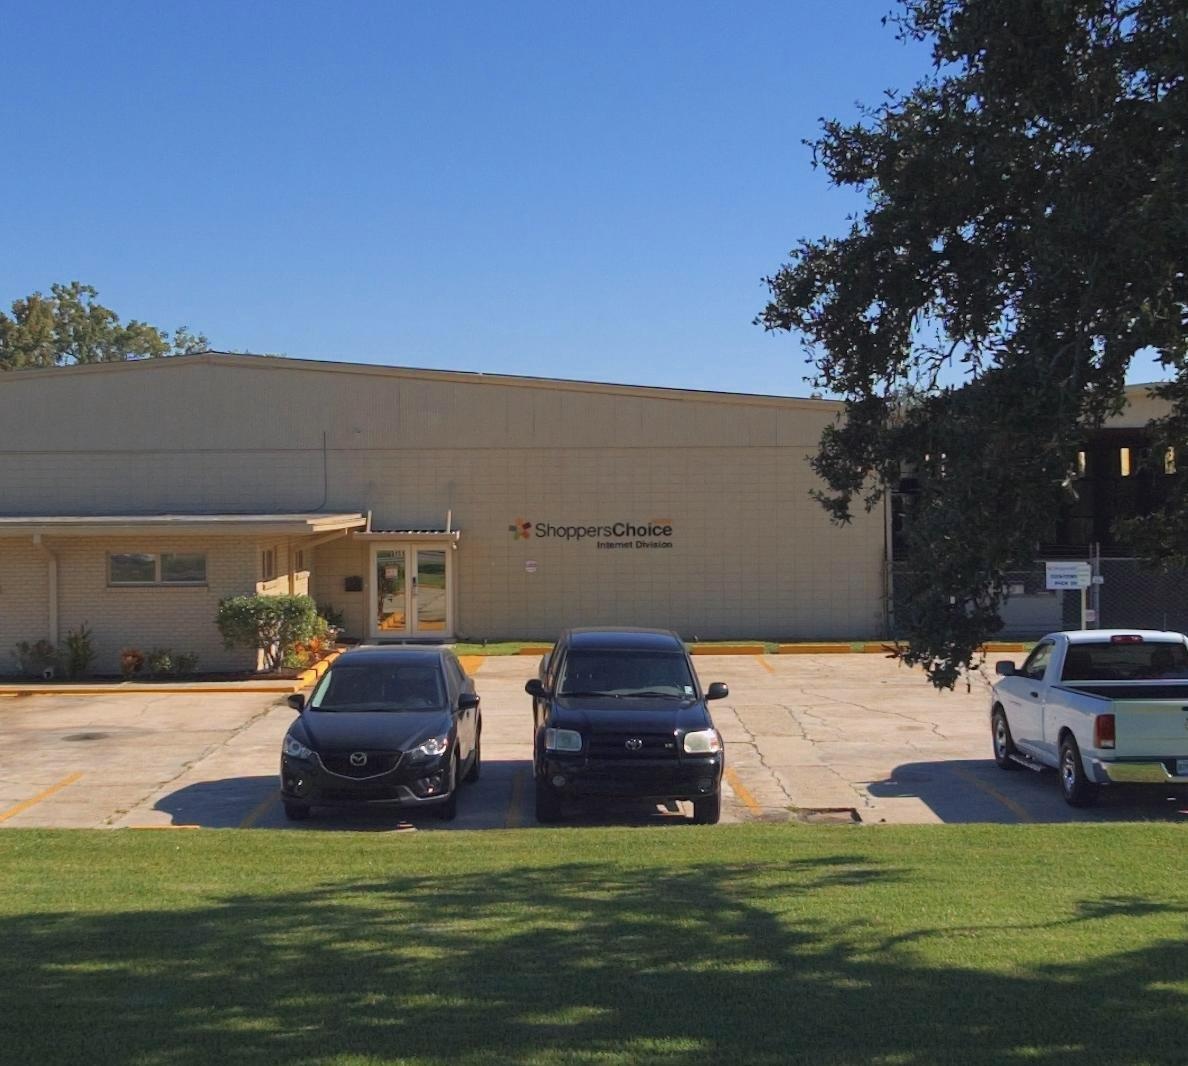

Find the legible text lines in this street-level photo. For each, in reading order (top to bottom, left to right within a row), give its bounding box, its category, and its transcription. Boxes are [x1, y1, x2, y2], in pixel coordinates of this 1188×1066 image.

[532, 520, 674, 542] BusinessName: ShoppersChoice
[594, 537, 676, 552] None: Internet Division